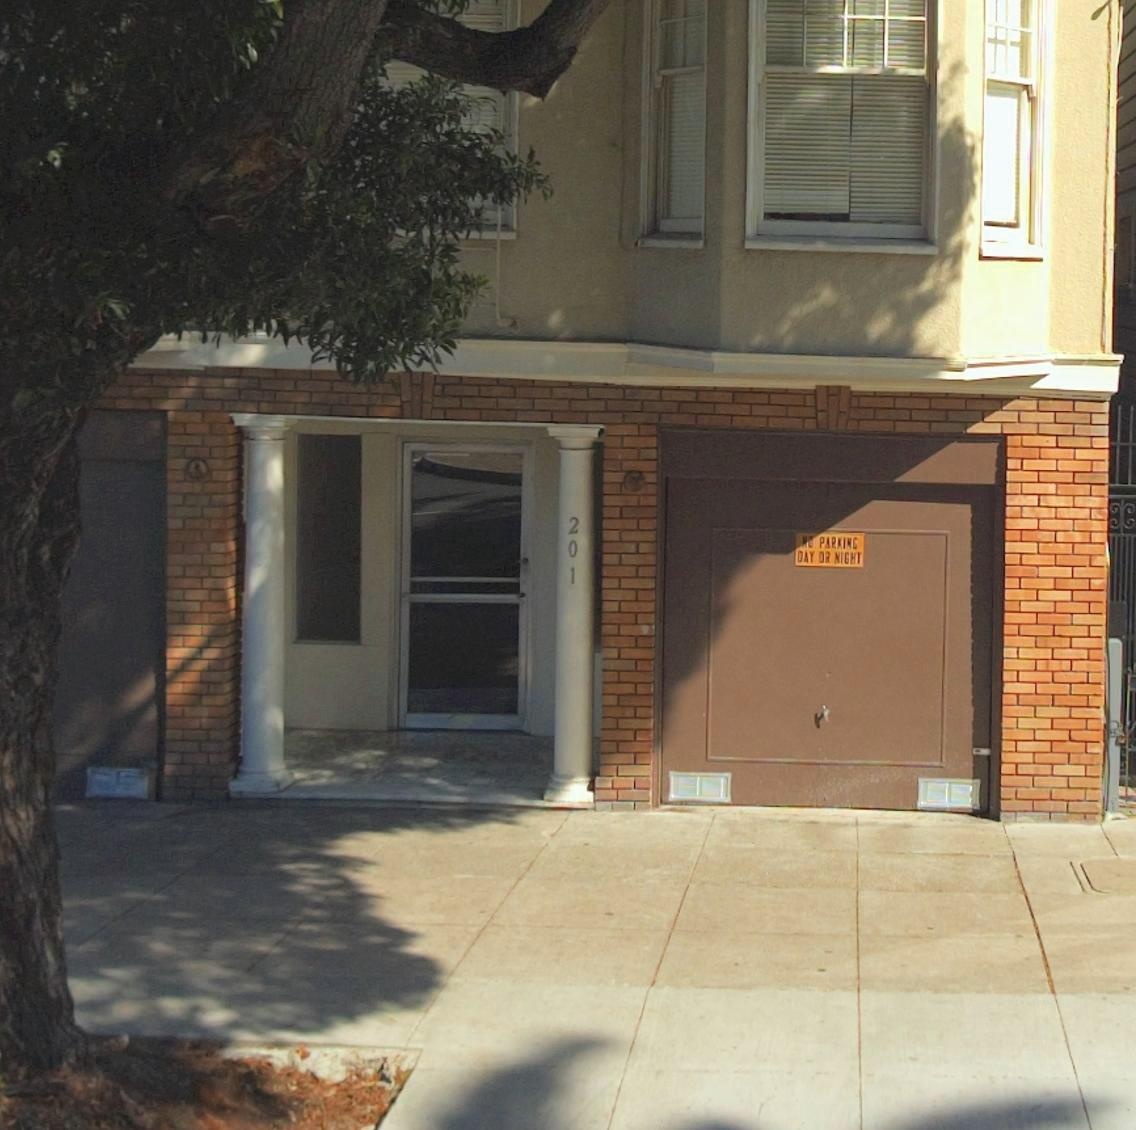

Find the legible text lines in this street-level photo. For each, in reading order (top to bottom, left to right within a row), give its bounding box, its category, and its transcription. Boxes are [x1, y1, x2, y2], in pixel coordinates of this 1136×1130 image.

[566, 515, 581, 586] StreetNumber: 201
[796, 547, 864, 565] None: DAY OR NIGHT
[801, 534, 860, 551] None: NO PARKING